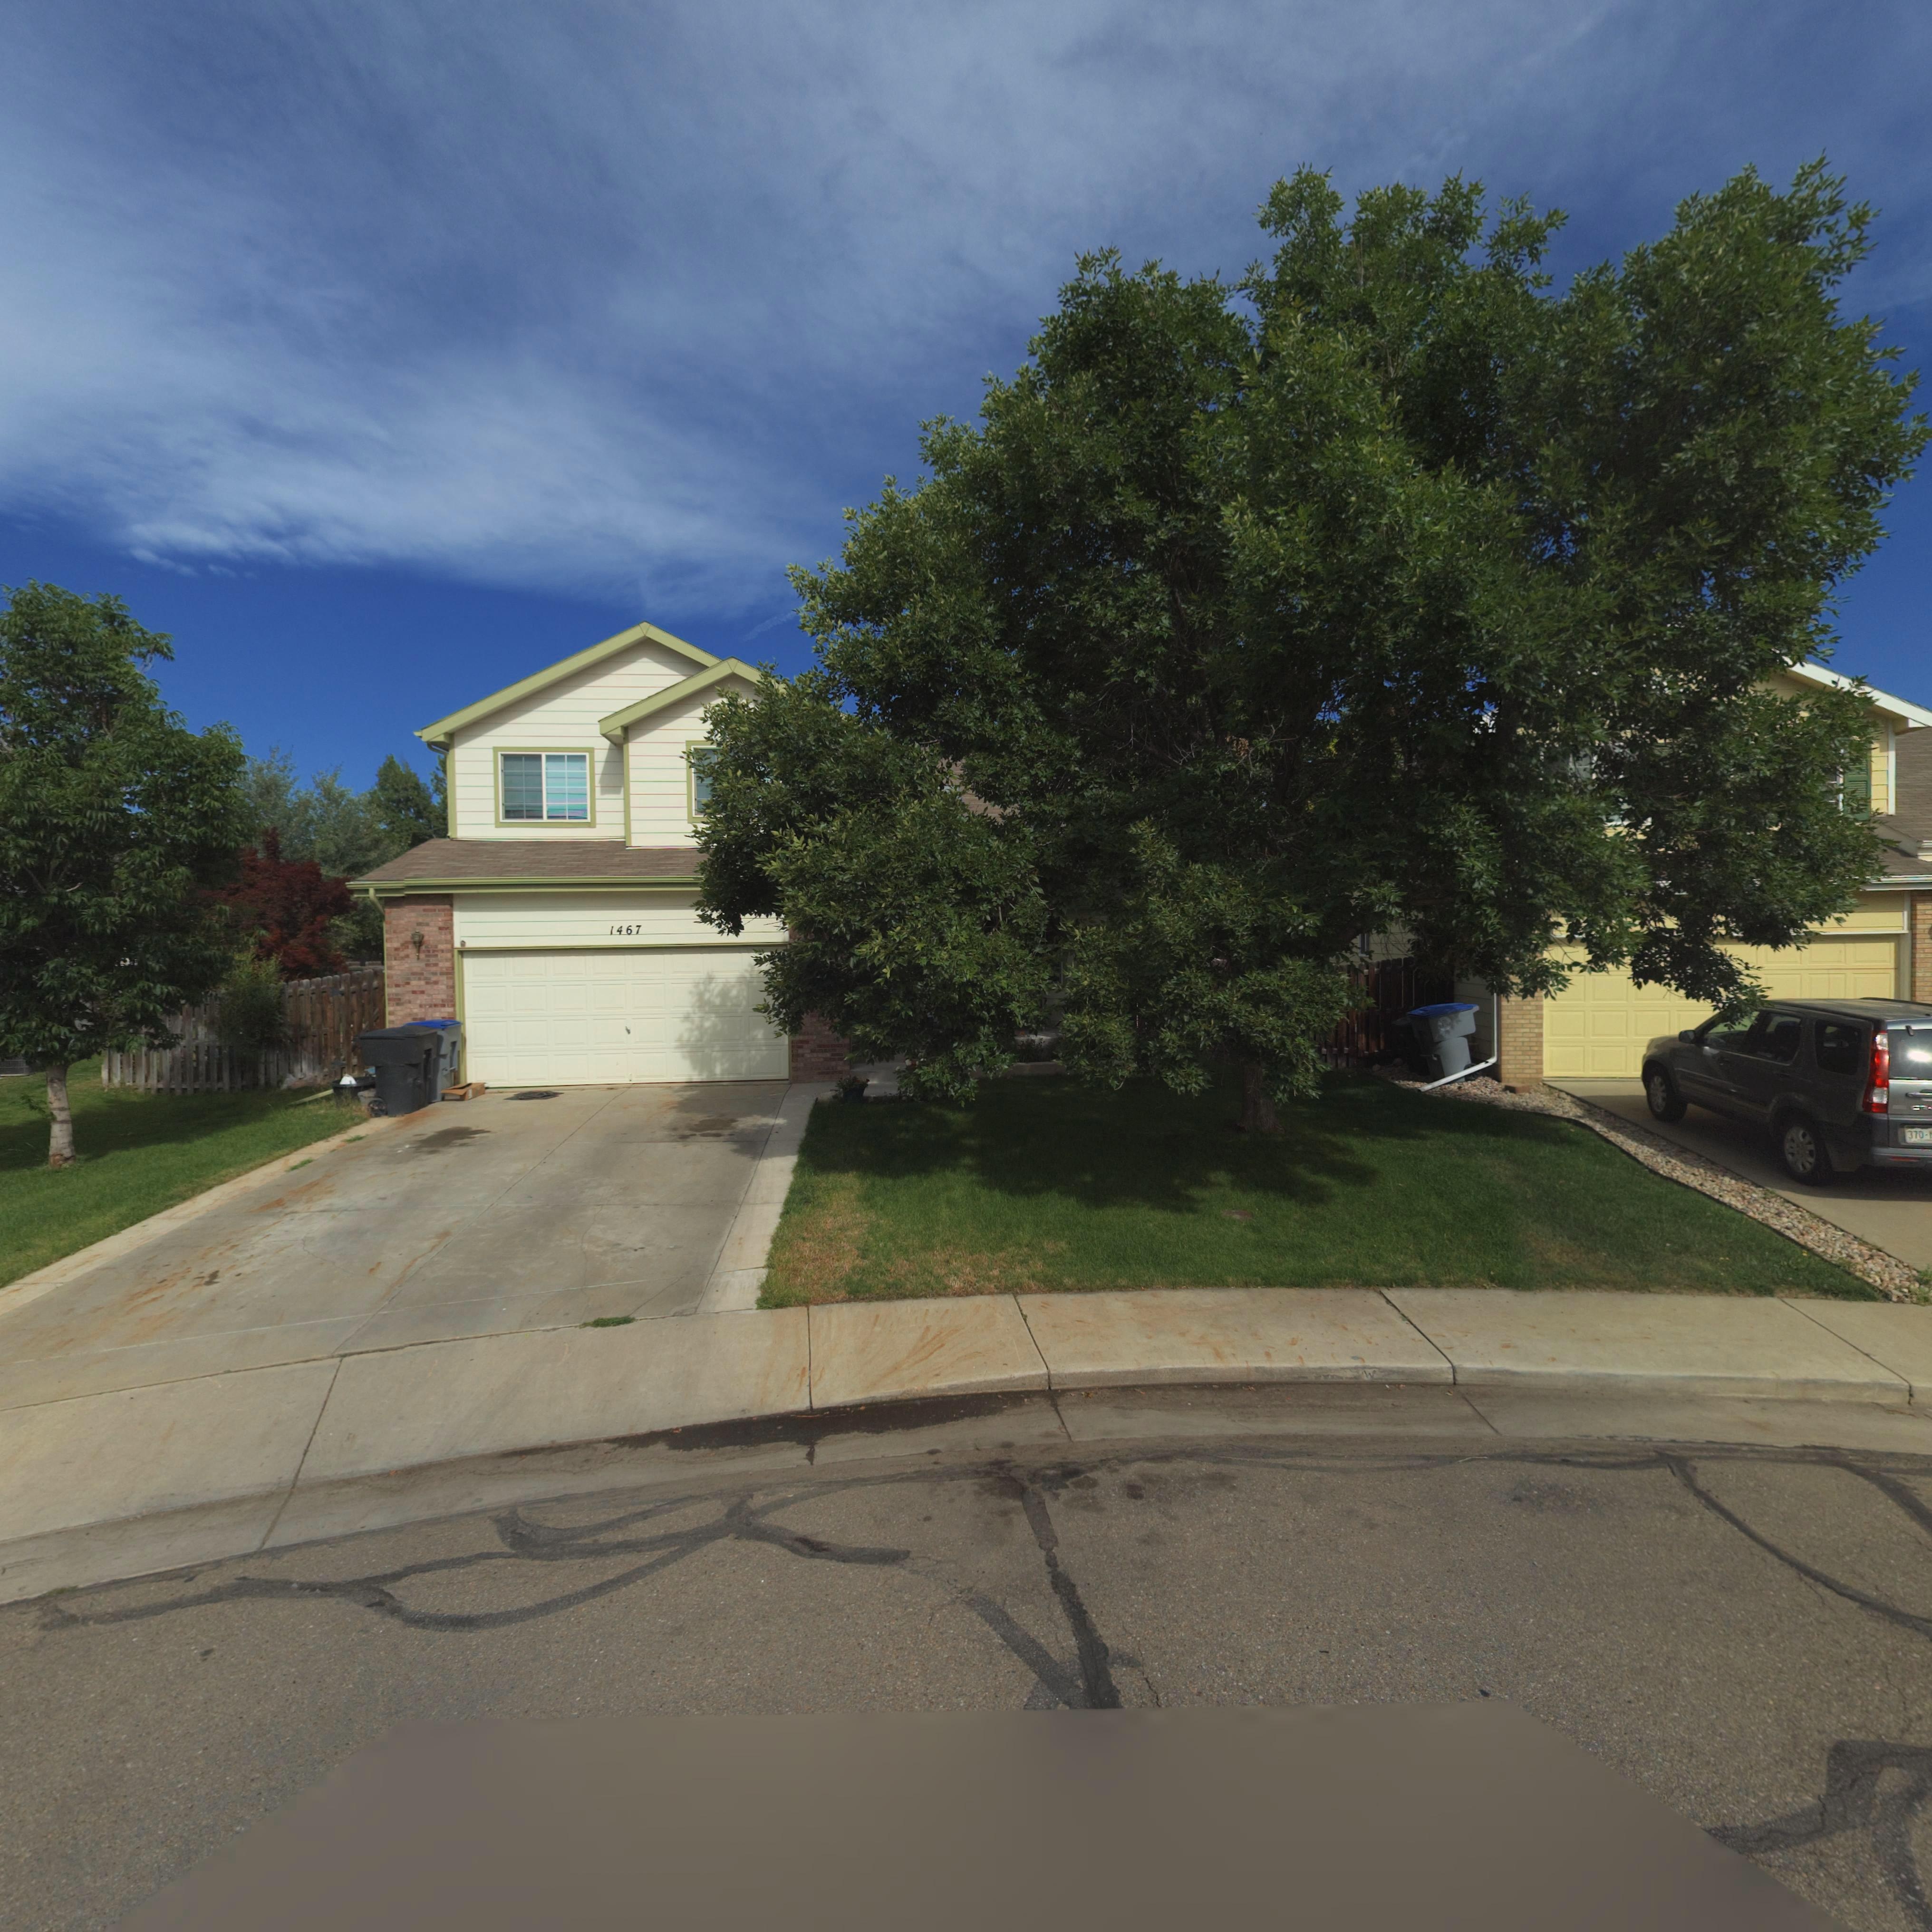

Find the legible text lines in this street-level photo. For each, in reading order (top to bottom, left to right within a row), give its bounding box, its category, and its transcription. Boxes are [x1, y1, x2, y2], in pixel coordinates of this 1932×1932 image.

[609, 924, 642, 935] StreetNumber: 1467